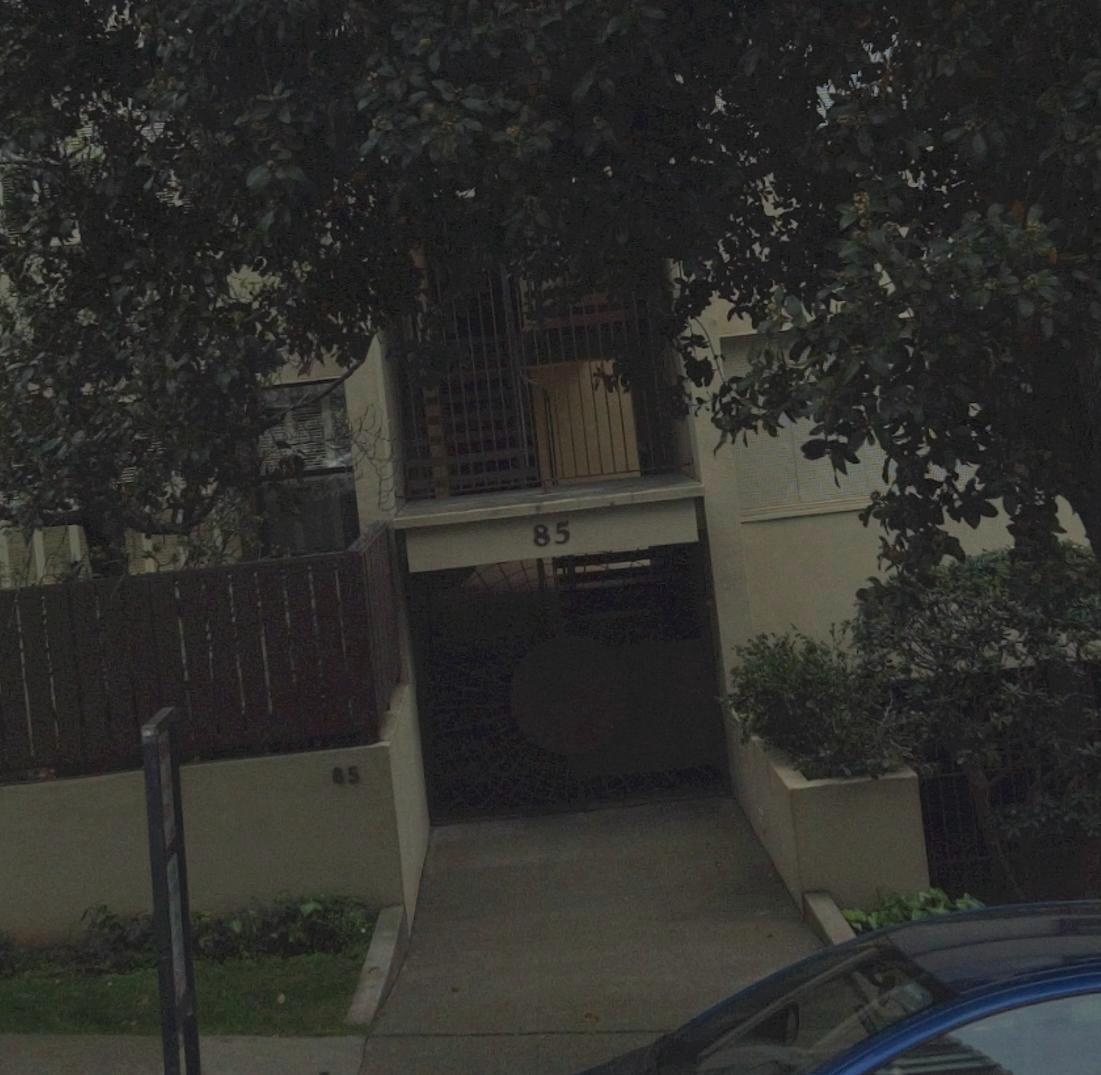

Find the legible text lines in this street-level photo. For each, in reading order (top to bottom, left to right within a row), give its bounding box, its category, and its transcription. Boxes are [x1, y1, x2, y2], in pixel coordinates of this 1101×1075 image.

[530, 516, 573, 551] StreetNumber: 85
[329, 763, 362, 786] StreetNumber: 85